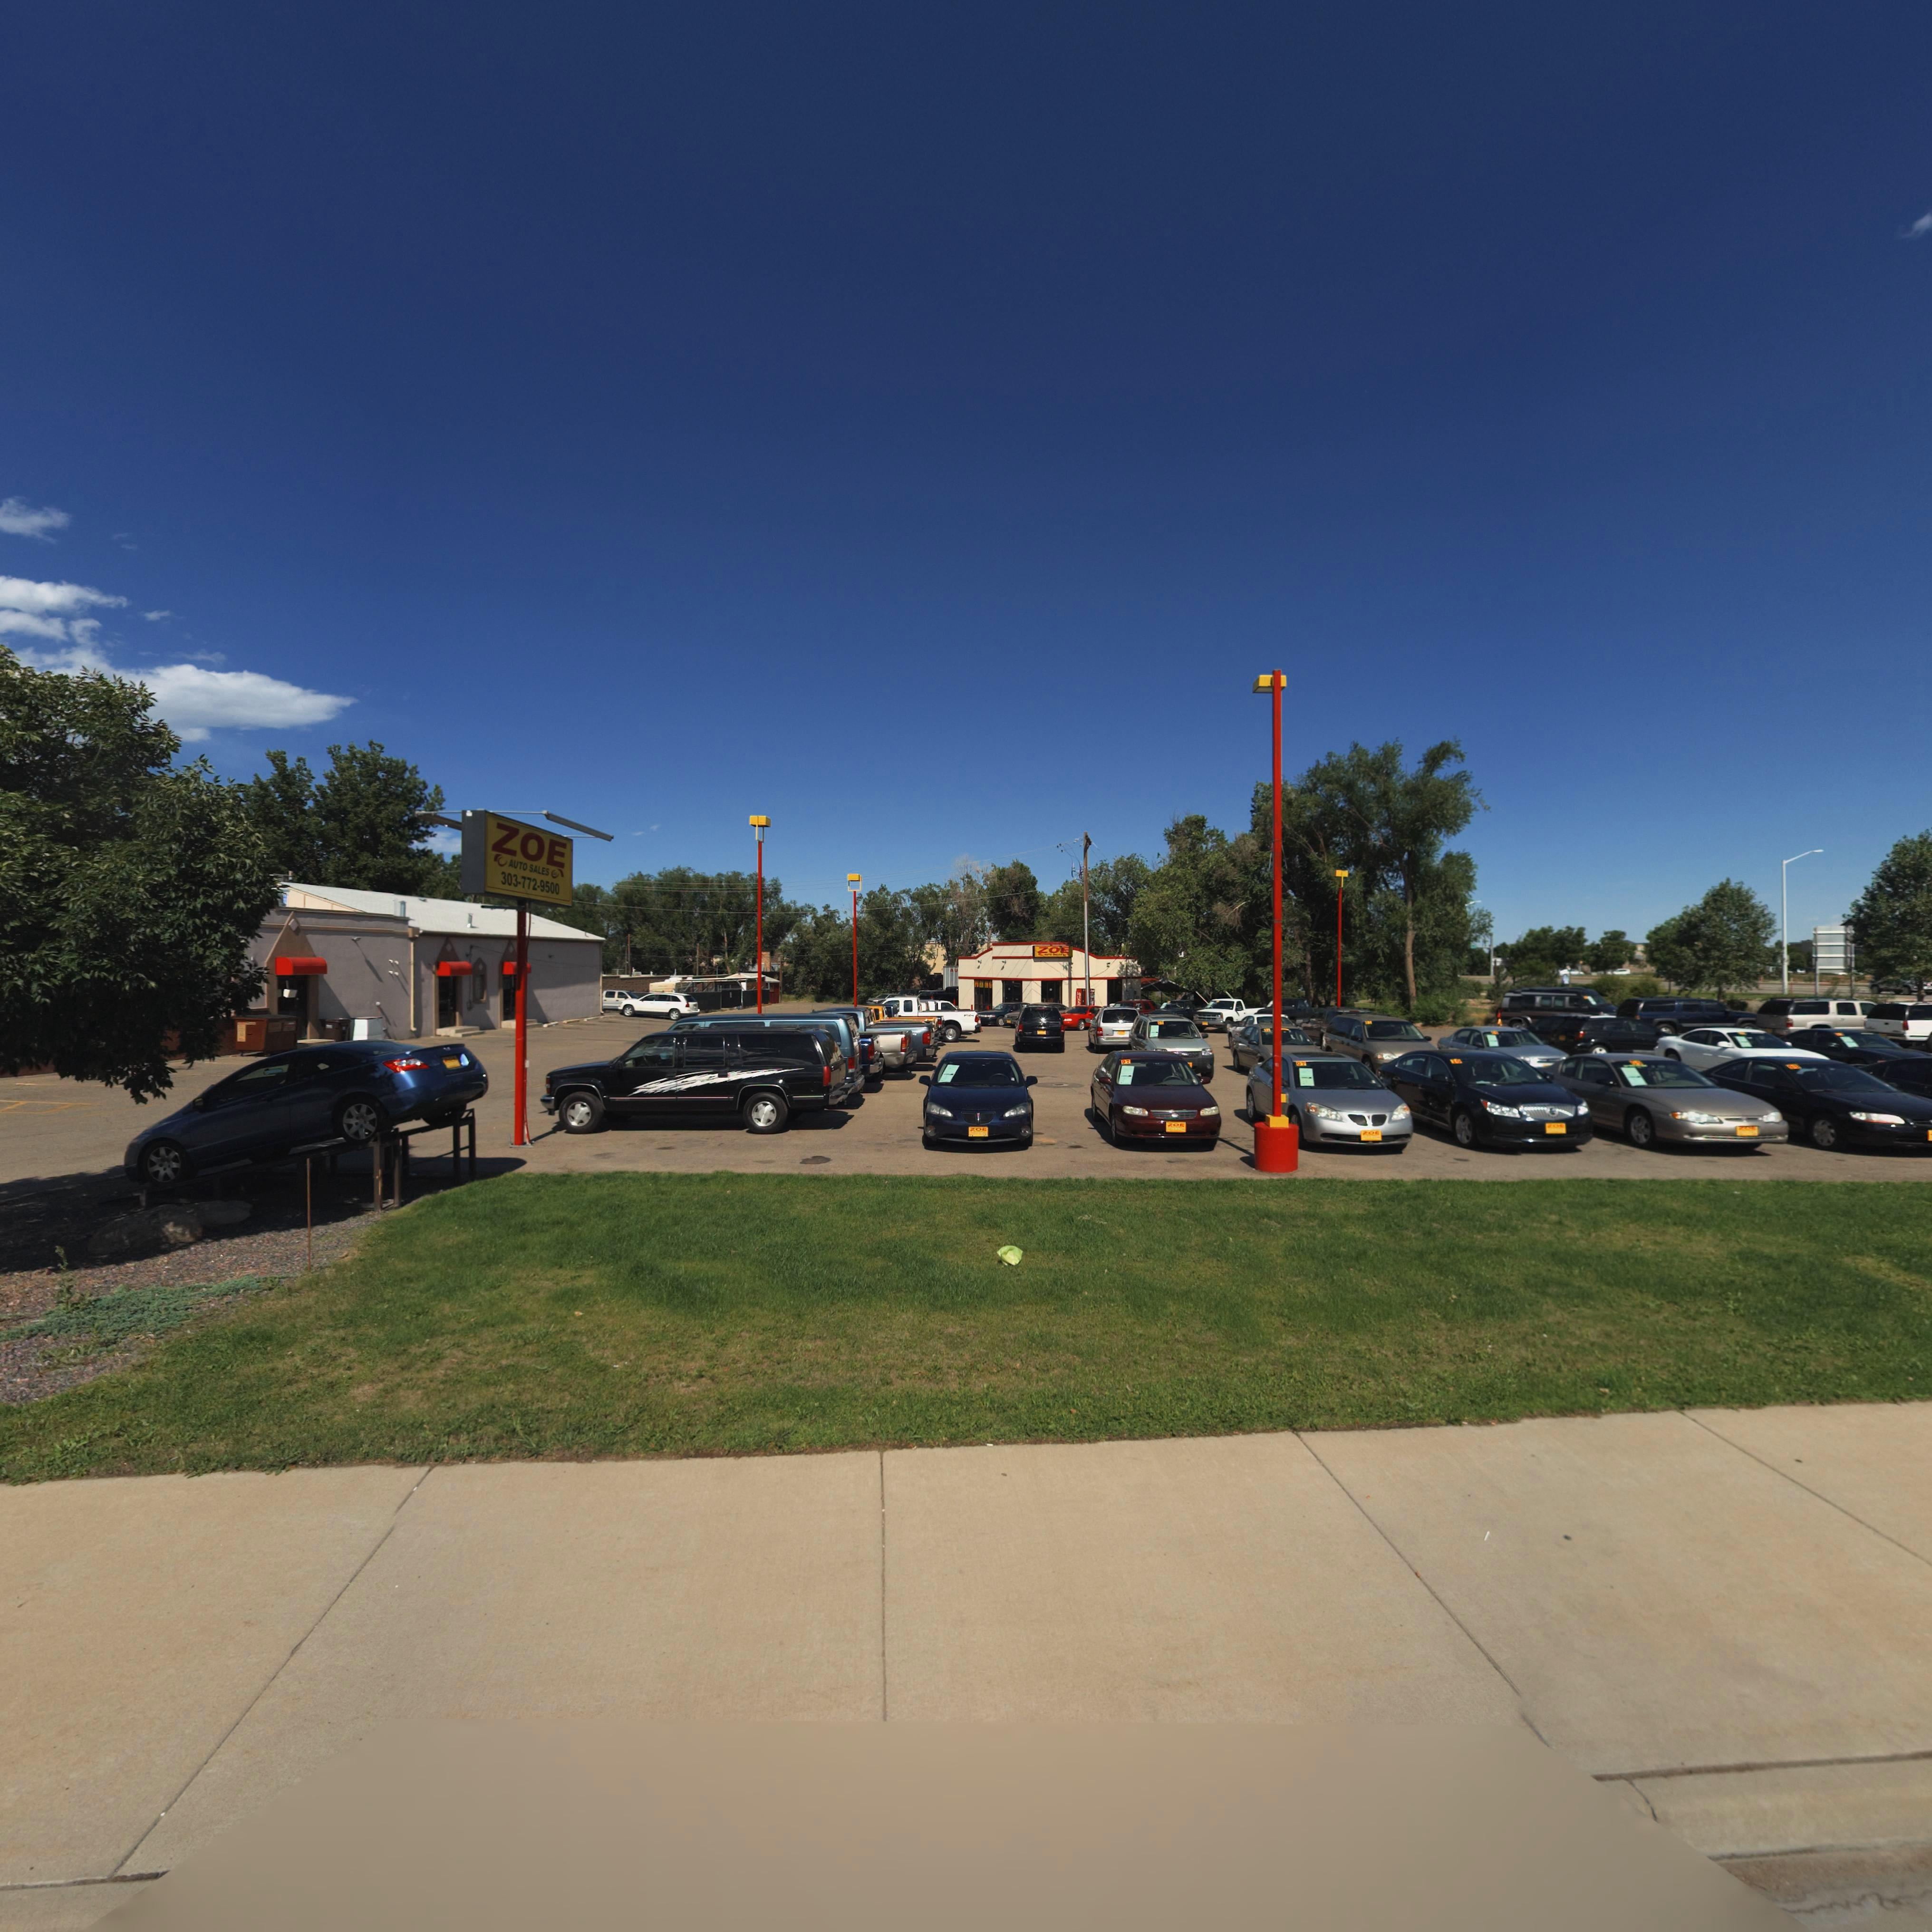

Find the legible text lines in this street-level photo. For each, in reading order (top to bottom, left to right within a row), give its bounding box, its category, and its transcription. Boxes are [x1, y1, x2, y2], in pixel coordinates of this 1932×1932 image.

[490, 821, 567, 869] BusinessName: ZOE
[507, 859, 550, 876] BusinessName: AUTO SALES
[1037, 947, 1070, 953] BusinessName: ZOE
[969, 1127, 986, 1131] BusinessName: ZOE